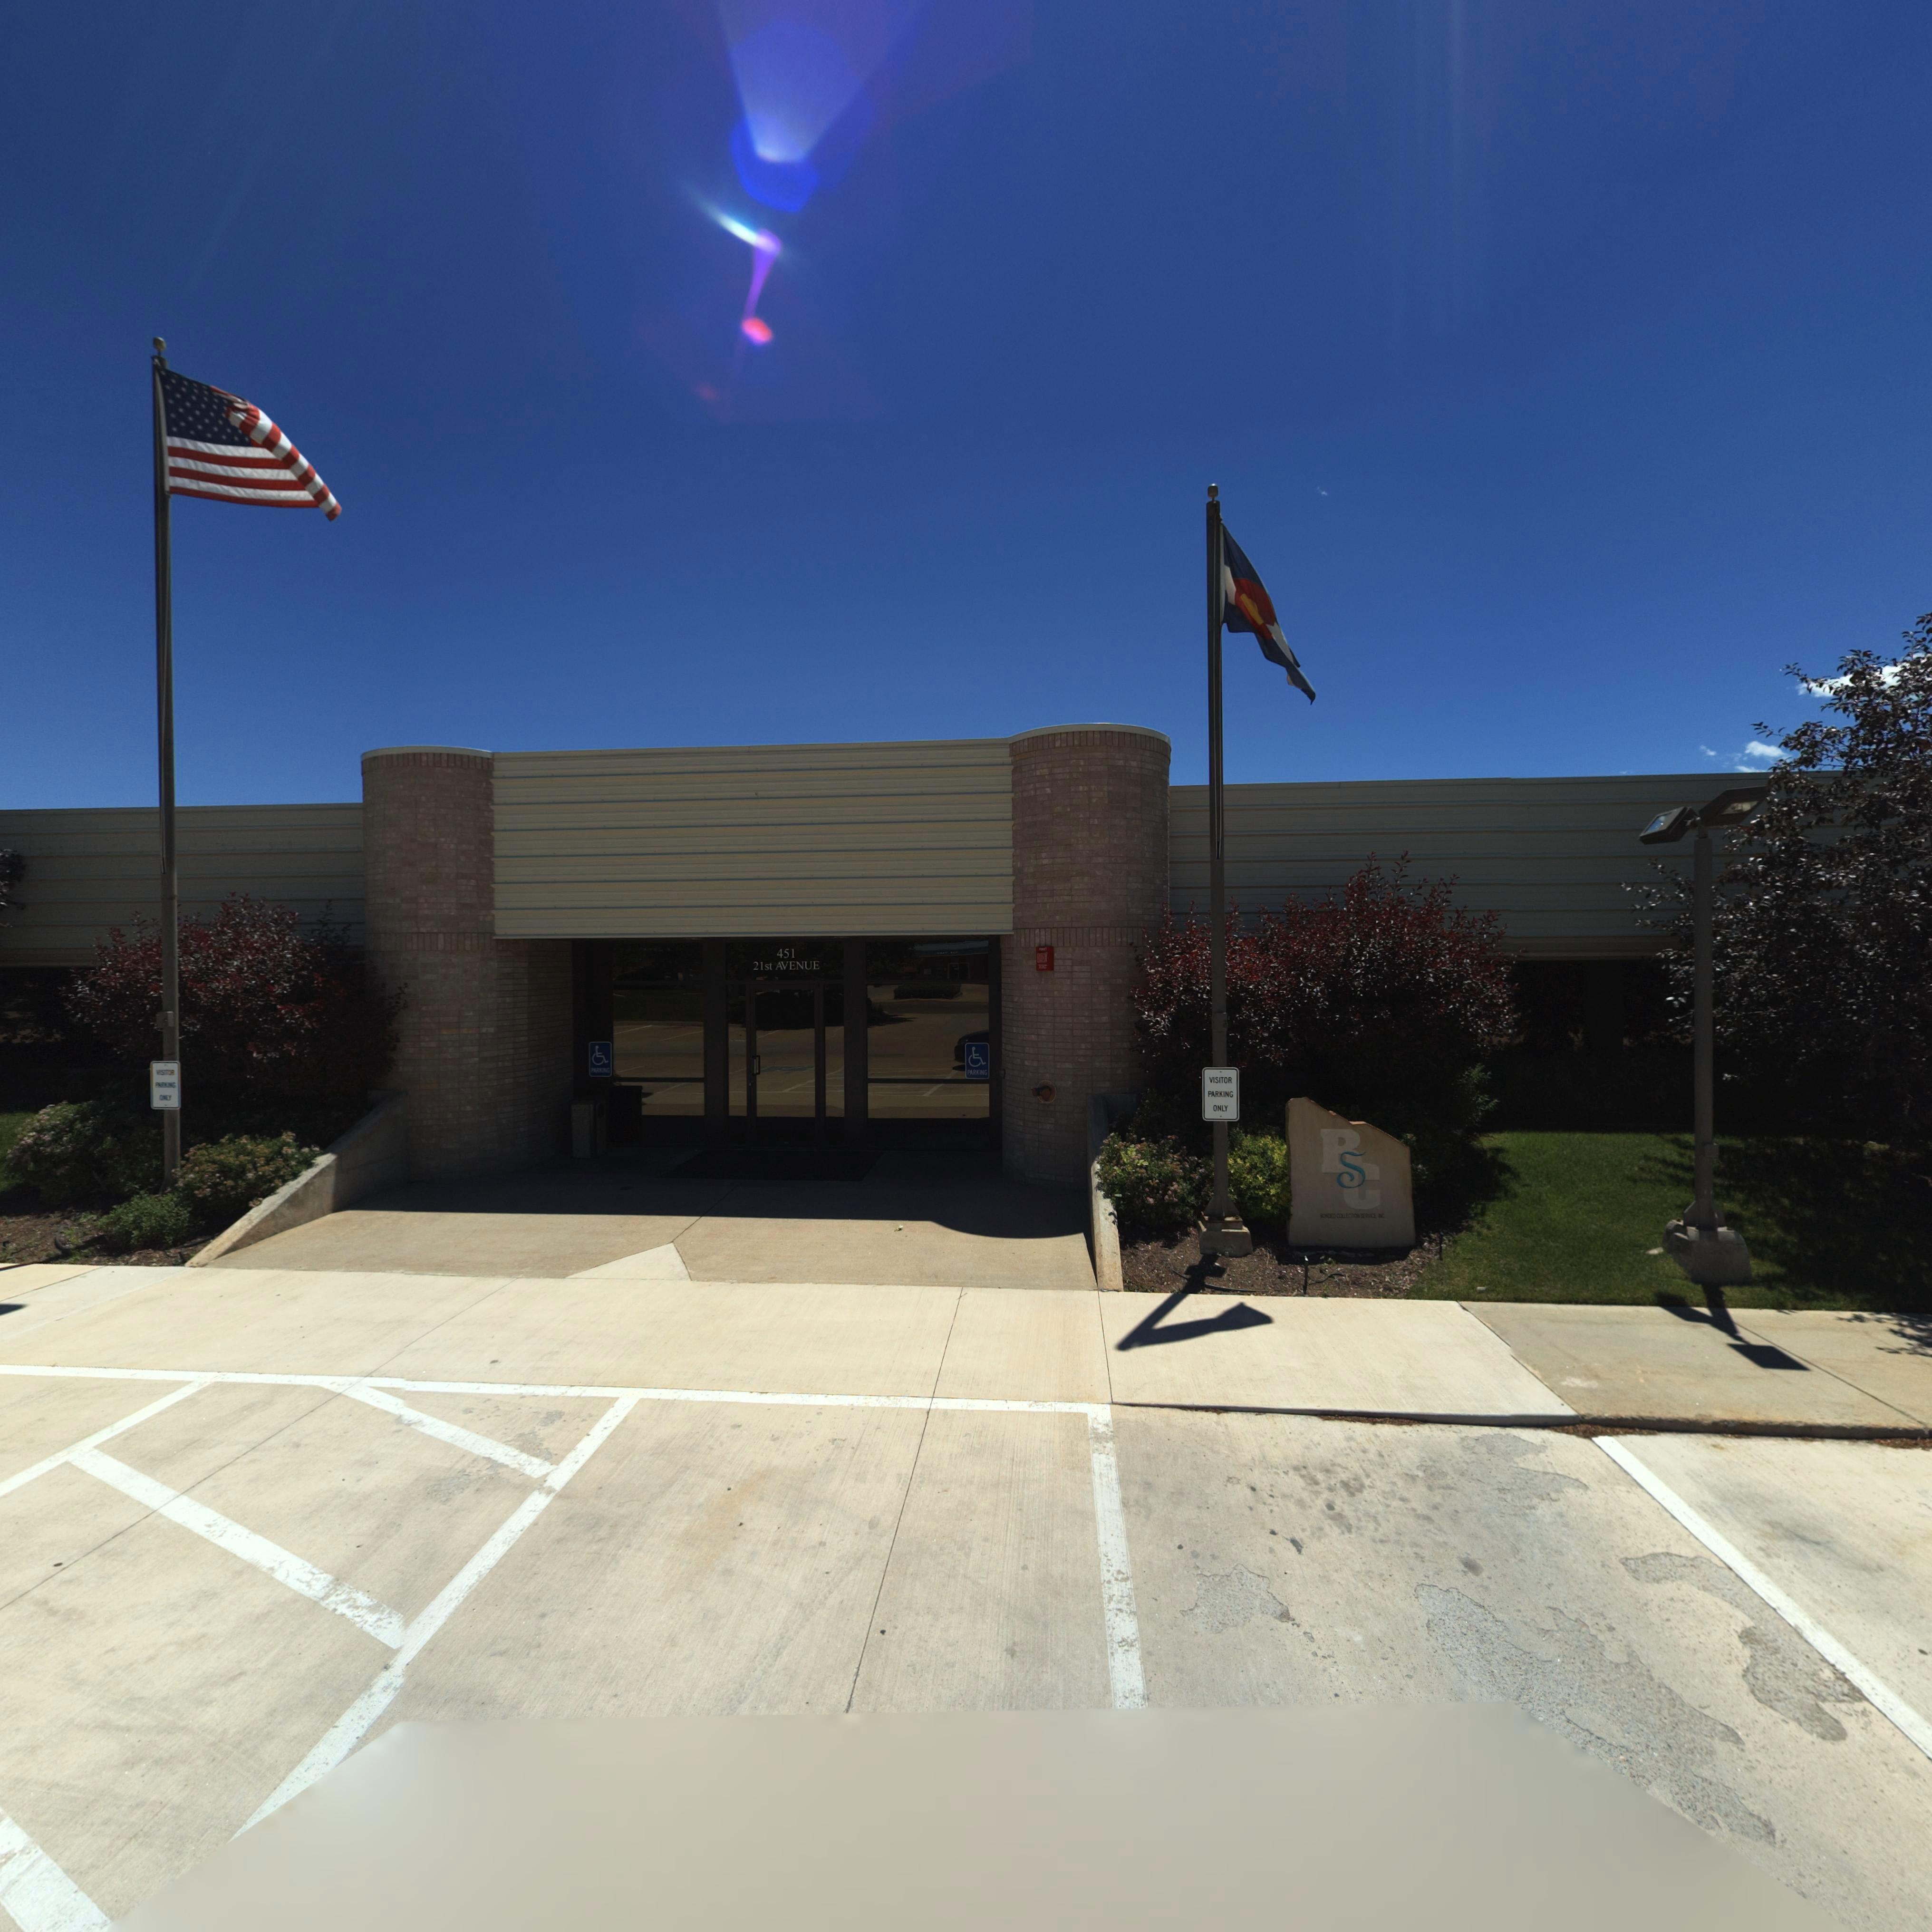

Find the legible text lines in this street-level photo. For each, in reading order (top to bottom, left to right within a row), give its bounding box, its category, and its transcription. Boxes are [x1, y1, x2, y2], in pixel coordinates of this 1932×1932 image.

[776, 948, 794, 958] StreetNumber: 451
[753, 961, 820, 970] StreetName: 21st AVENUE
[1319, 1212, 1385, 1218] BusinessName: BONDED COLLECTION SERVICE, INC.